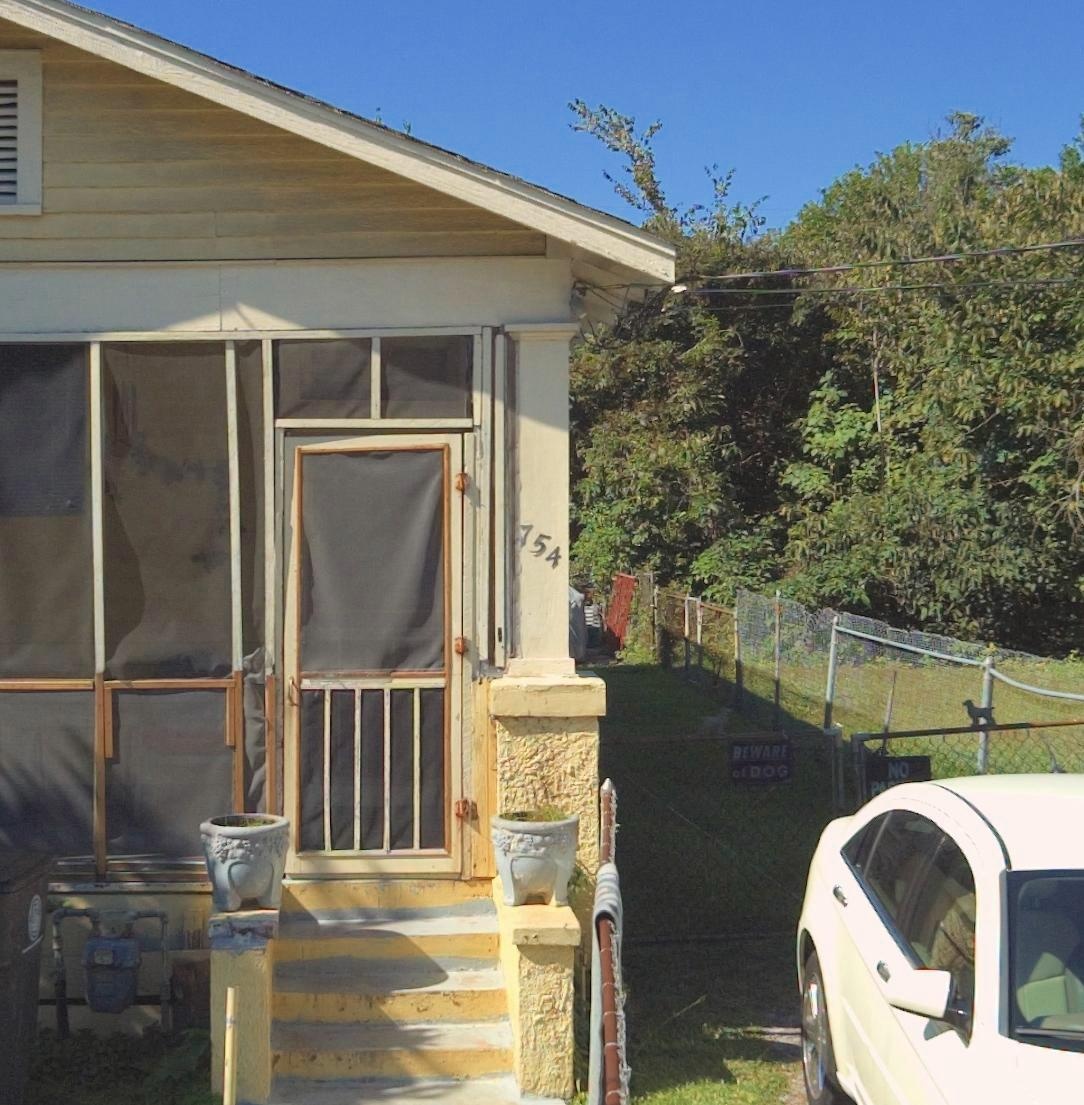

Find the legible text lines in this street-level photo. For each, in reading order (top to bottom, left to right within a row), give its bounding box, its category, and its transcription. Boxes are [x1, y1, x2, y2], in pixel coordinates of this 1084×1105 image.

[516, 522, 566, 574] StreetNumber: 754
[729, 742, 790, 763] None: BEWARE
[730, 762, 791, 782] None: of DOG
[885, 759, 913, 782] None: NO
[869, 780, 881, 800] None: P